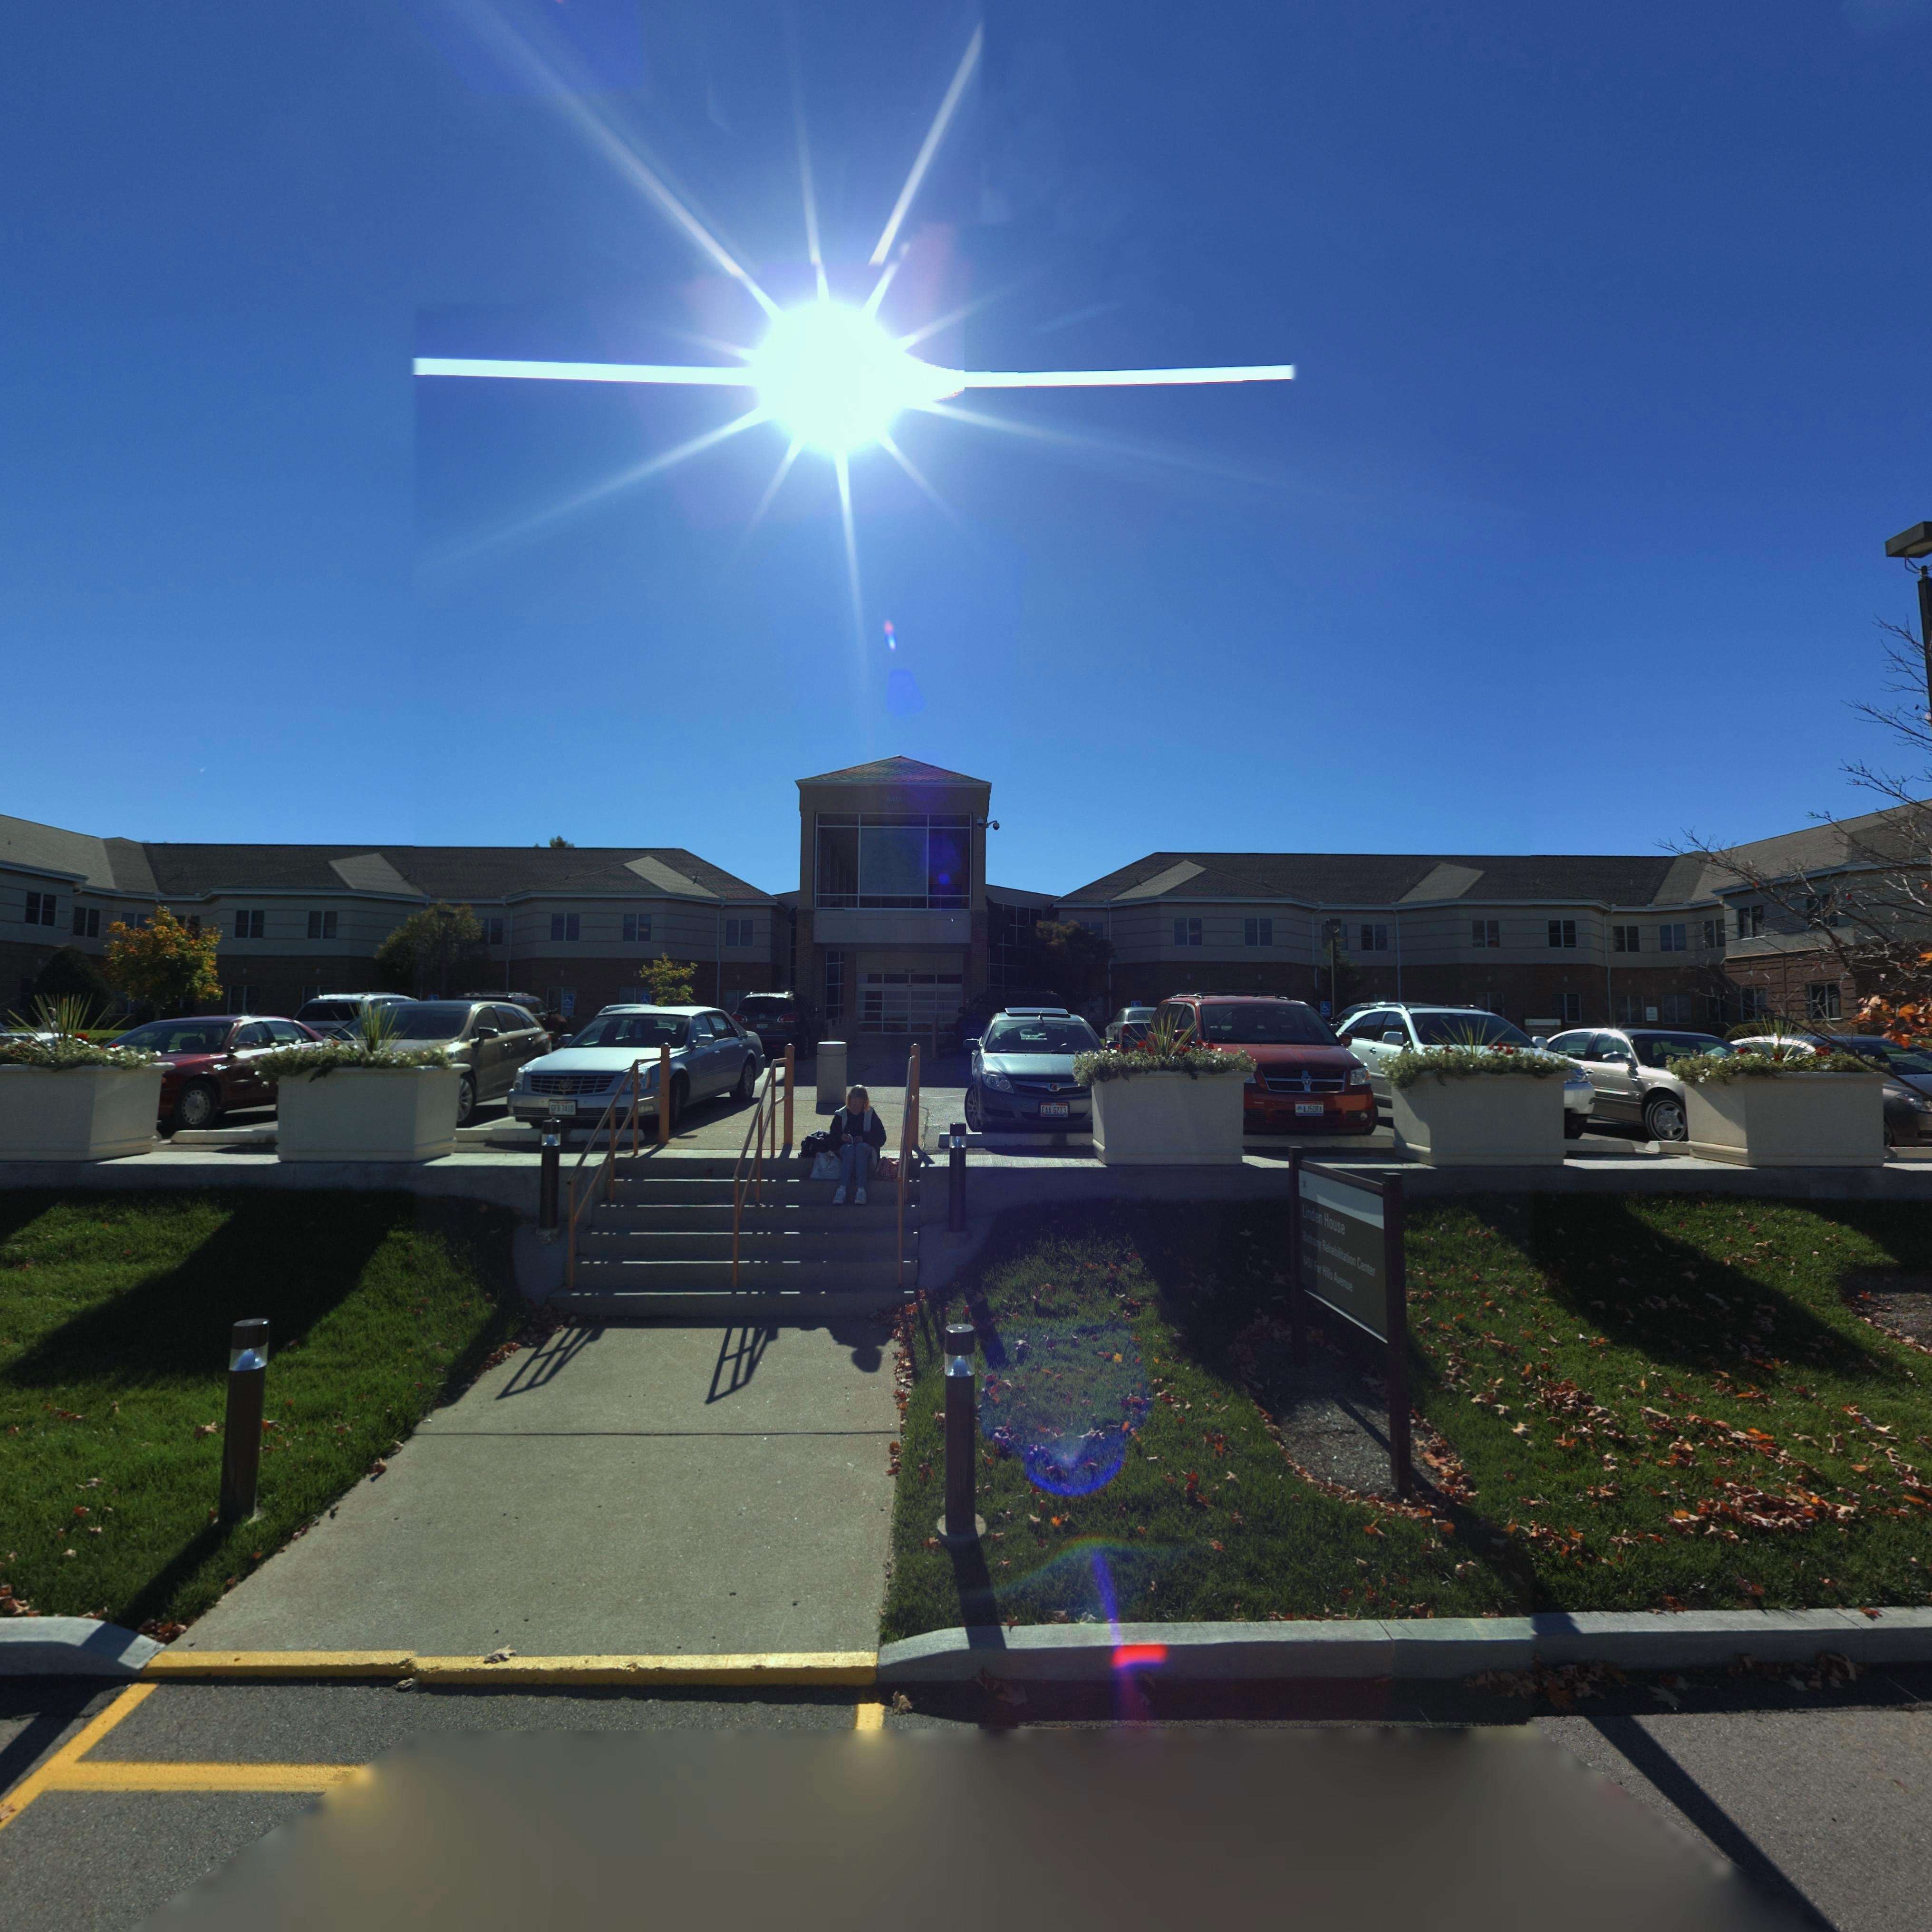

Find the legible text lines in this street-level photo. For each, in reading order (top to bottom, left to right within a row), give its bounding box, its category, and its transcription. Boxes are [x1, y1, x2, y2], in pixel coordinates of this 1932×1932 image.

[550, 1104, 575, 1113] None: *FB*7410
[1302, 1202, 1346, 1236] None: Linden House
[1303, 1255, 1314, 1271] StreetNumber: 6*5*
[1313, 1259, 1354, 1294] StreetName: Far Hills Avenue
[1302, 1229, 1377, 1279] BusinessName: Bethany Rehabilitation Center